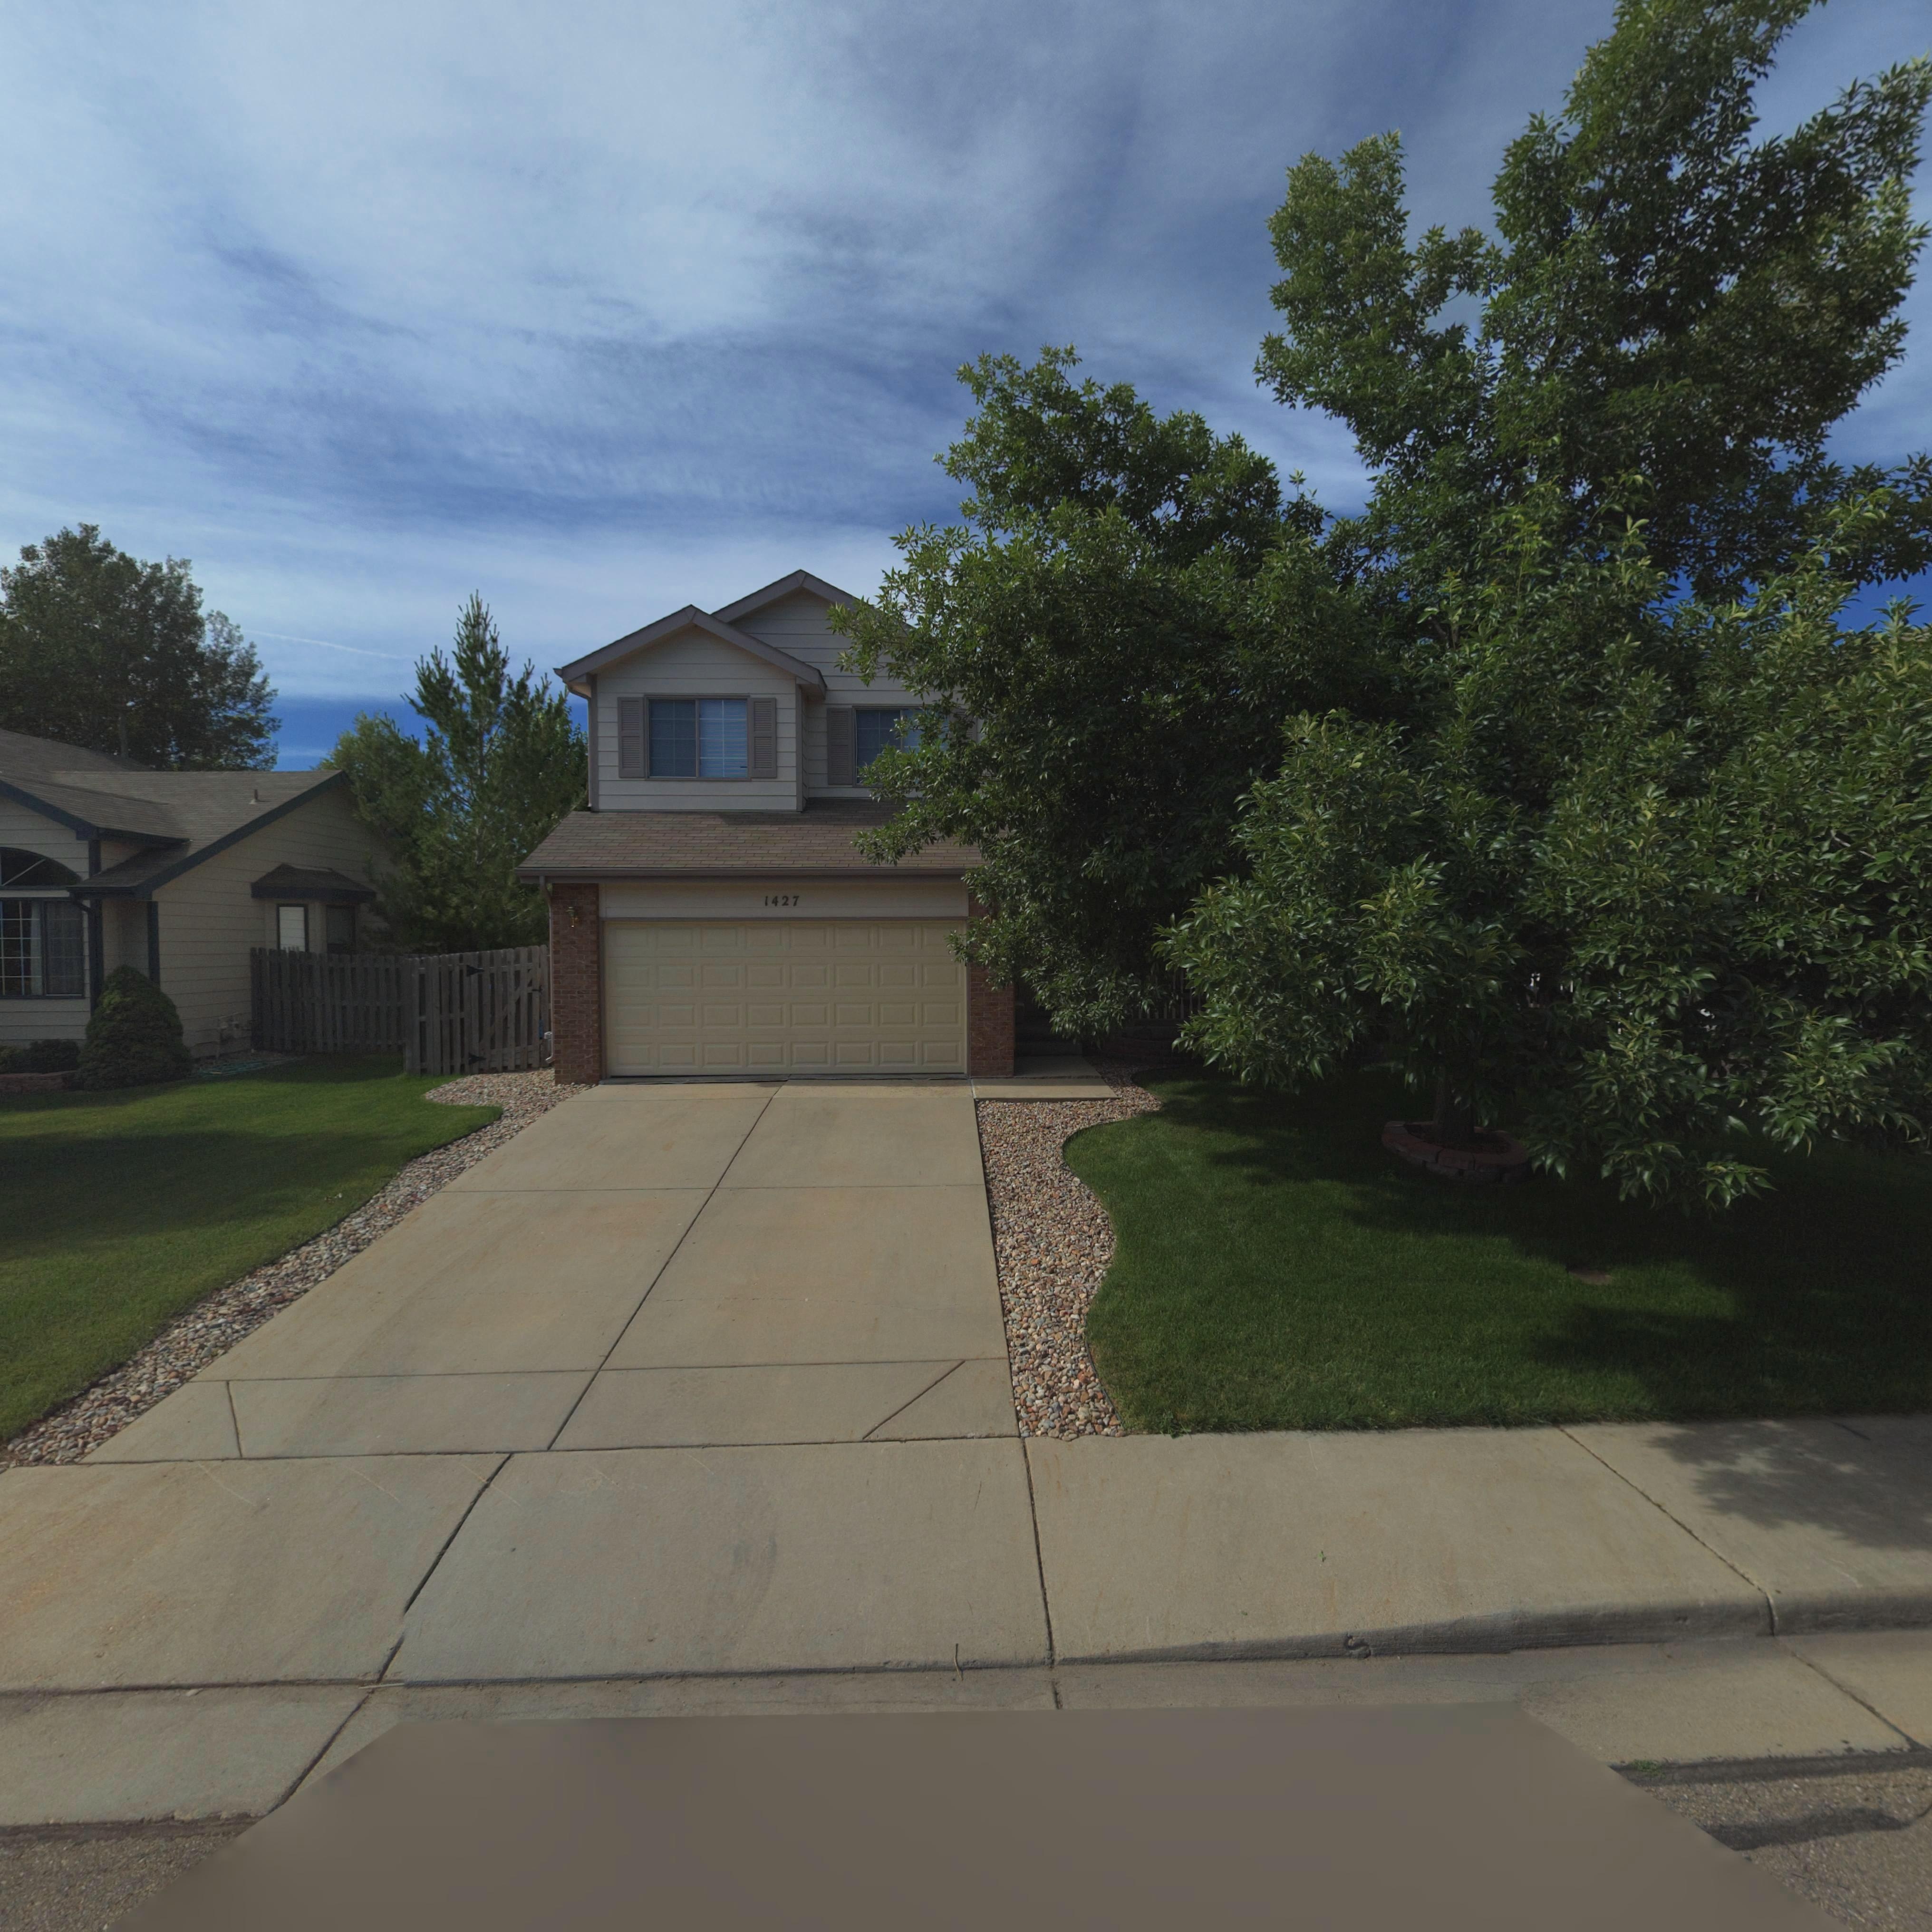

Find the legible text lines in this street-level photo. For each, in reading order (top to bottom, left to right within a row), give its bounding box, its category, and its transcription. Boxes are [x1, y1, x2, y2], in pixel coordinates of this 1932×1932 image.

[764, 895, 800, 907] StreetNumber: 1427